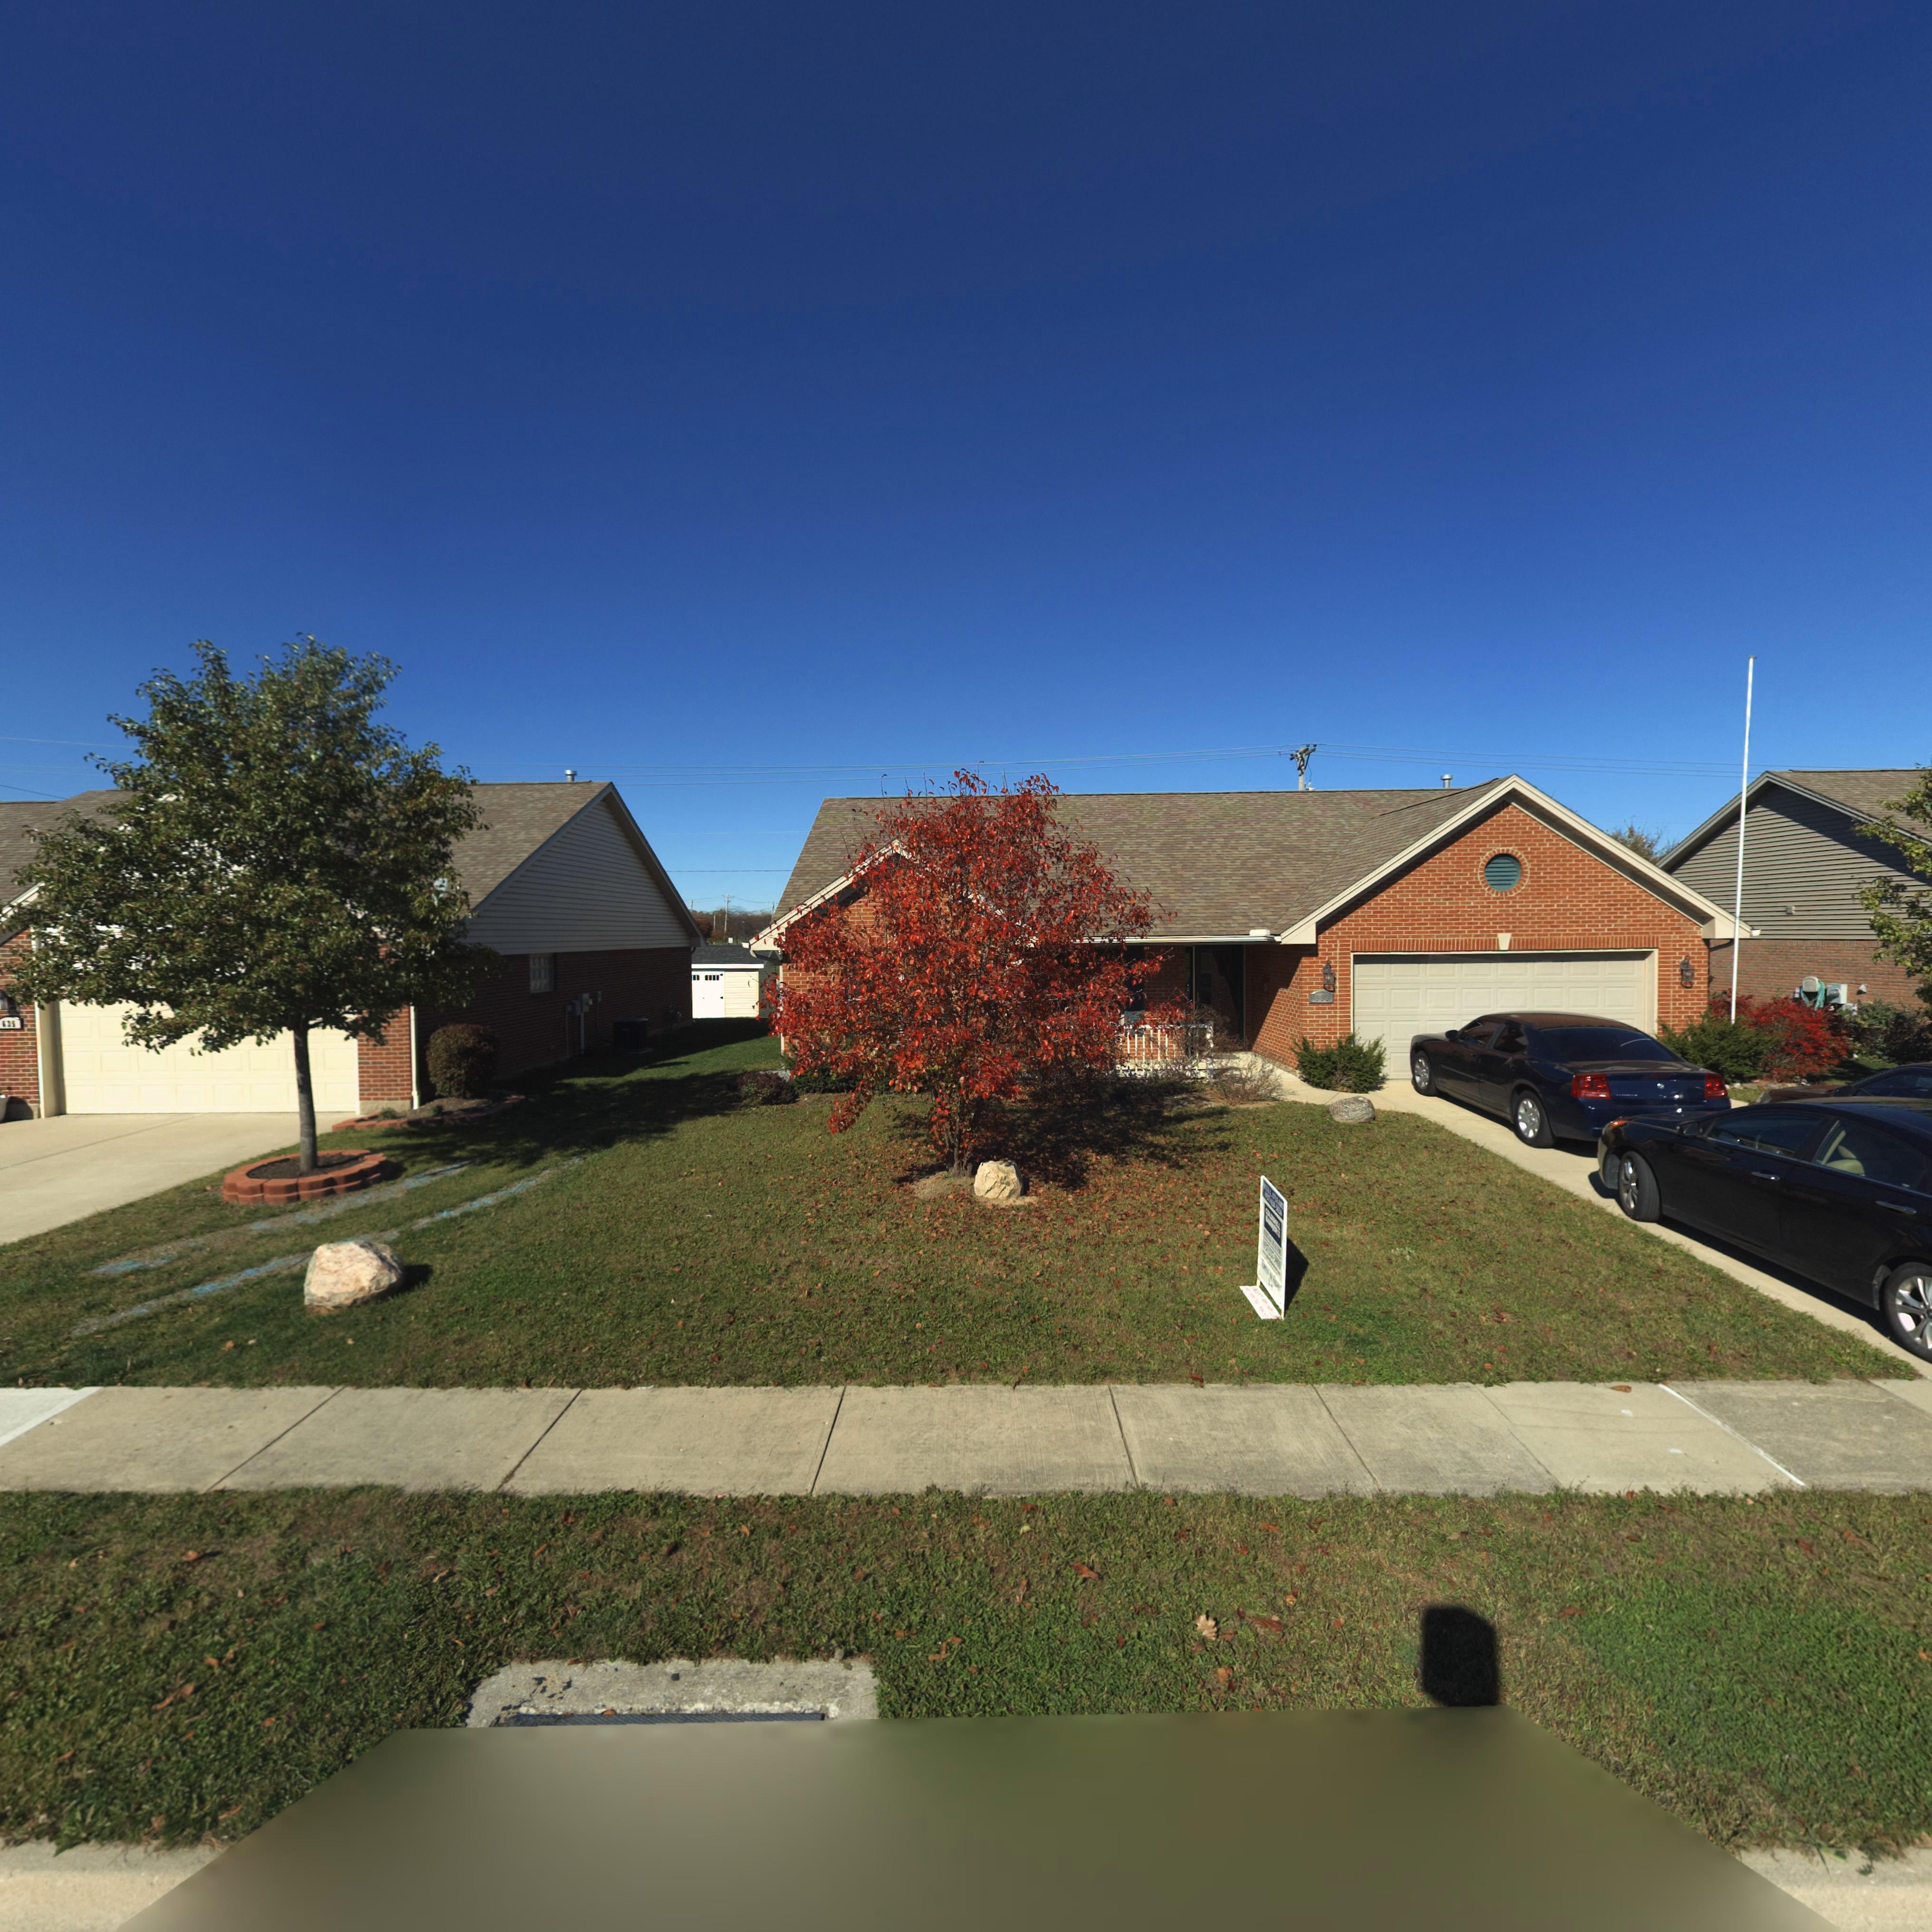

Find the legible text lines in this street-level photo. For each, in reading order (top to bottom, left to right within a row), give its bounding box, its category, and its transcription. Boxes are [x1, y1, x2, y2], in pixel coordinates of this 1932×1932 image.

[1314, 993, 1330, 1003] StreetNumber: 53*
[1, 1019, 17, 1029] StreetNumber: 6**